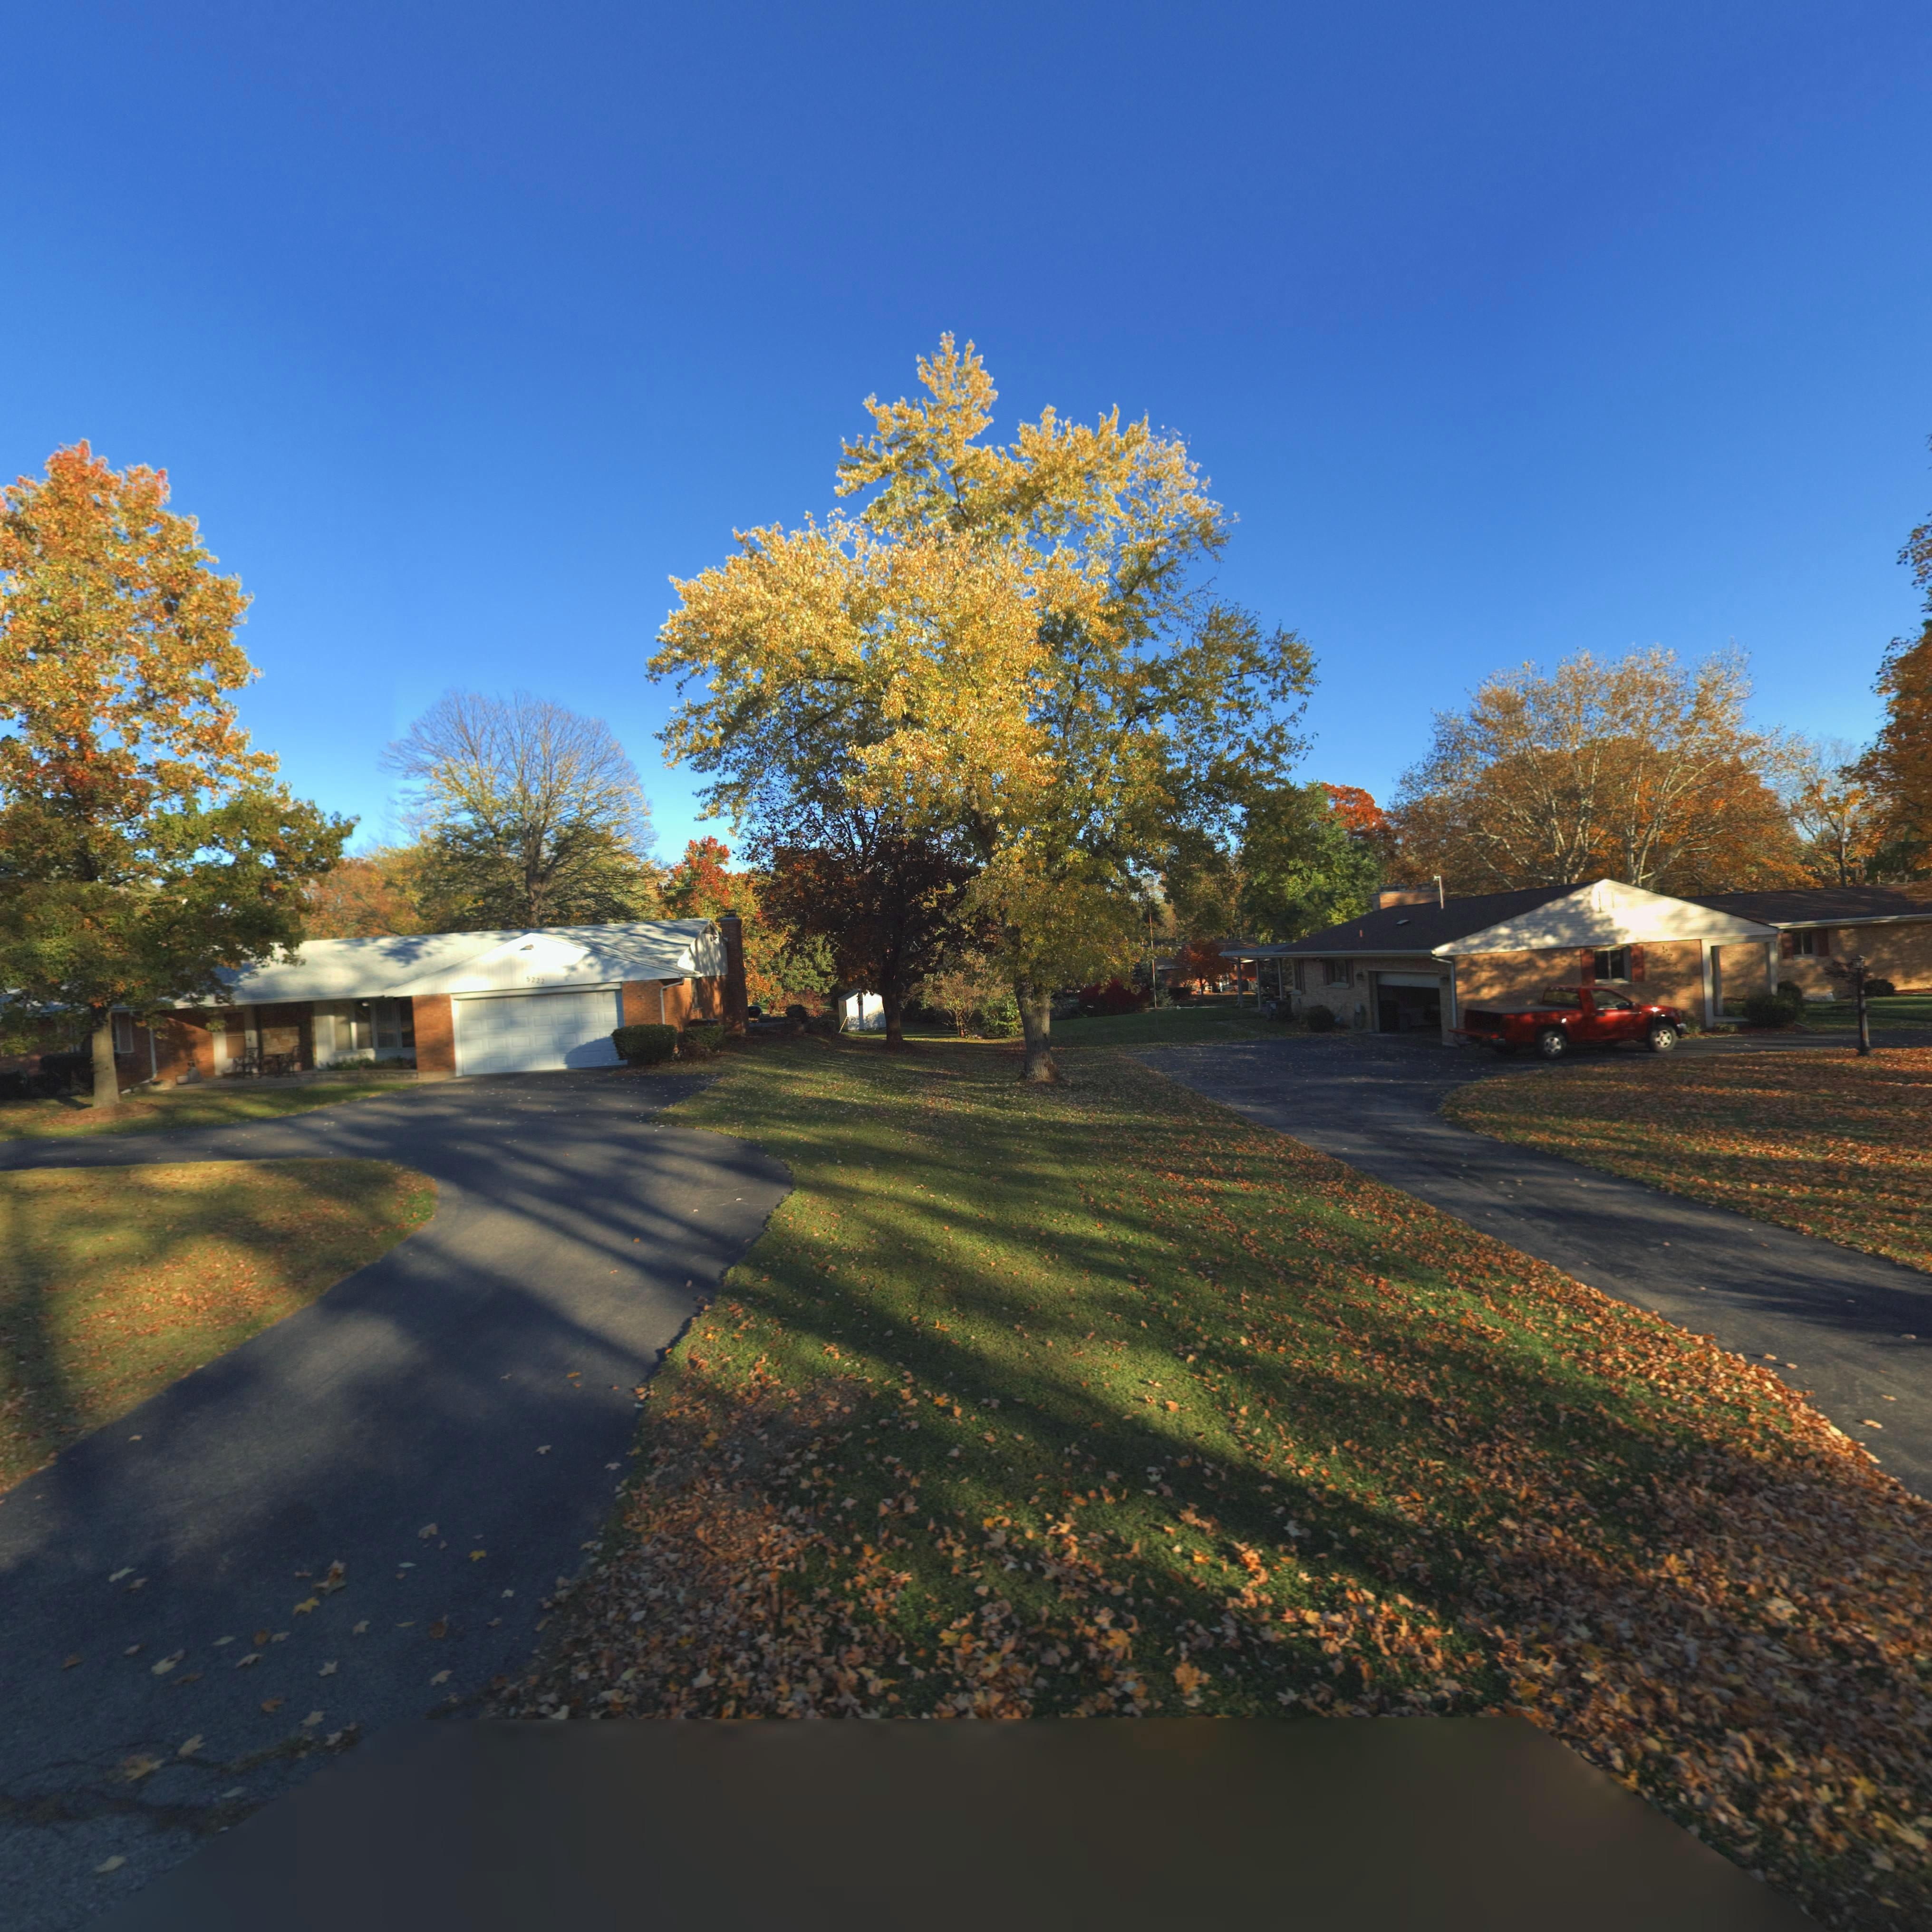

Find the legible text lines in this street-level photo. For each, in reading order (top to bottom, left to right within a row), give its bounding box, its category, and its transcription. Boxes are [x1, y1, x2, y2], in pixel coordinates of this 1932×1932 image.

[524, 974, 547, 986] StreetNumber: 5222